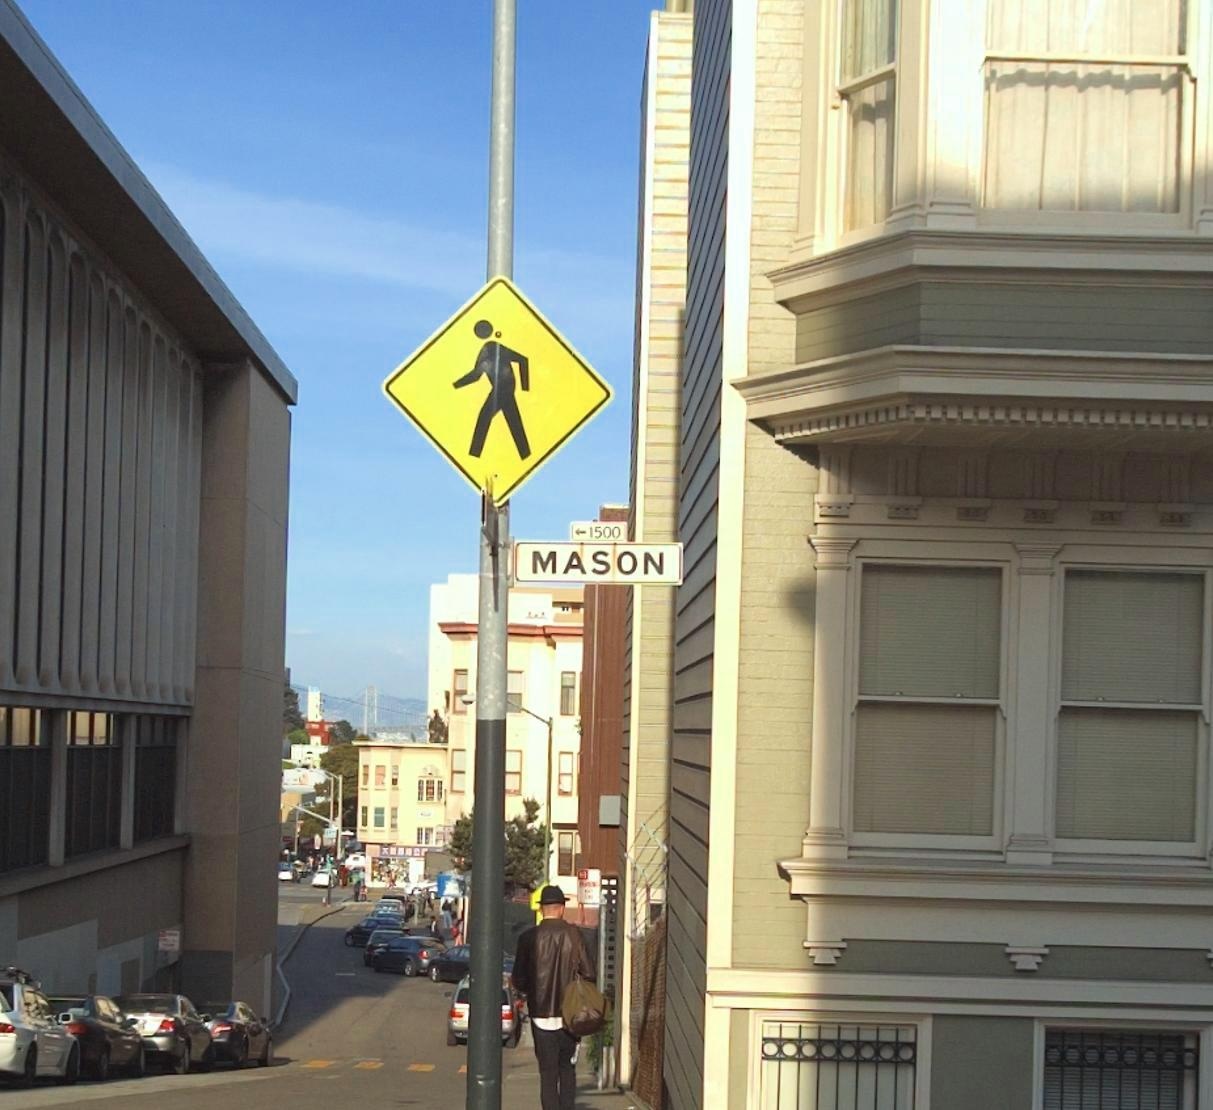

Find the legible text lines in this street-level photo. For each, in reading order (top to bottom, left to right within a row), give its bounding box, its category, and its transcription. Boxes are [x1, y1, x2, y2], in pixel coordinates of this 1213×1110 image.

[572, 523, 625, 542] StreetNumberRange: <-1500
[529, 547, 667, 578] StreetName: MASON